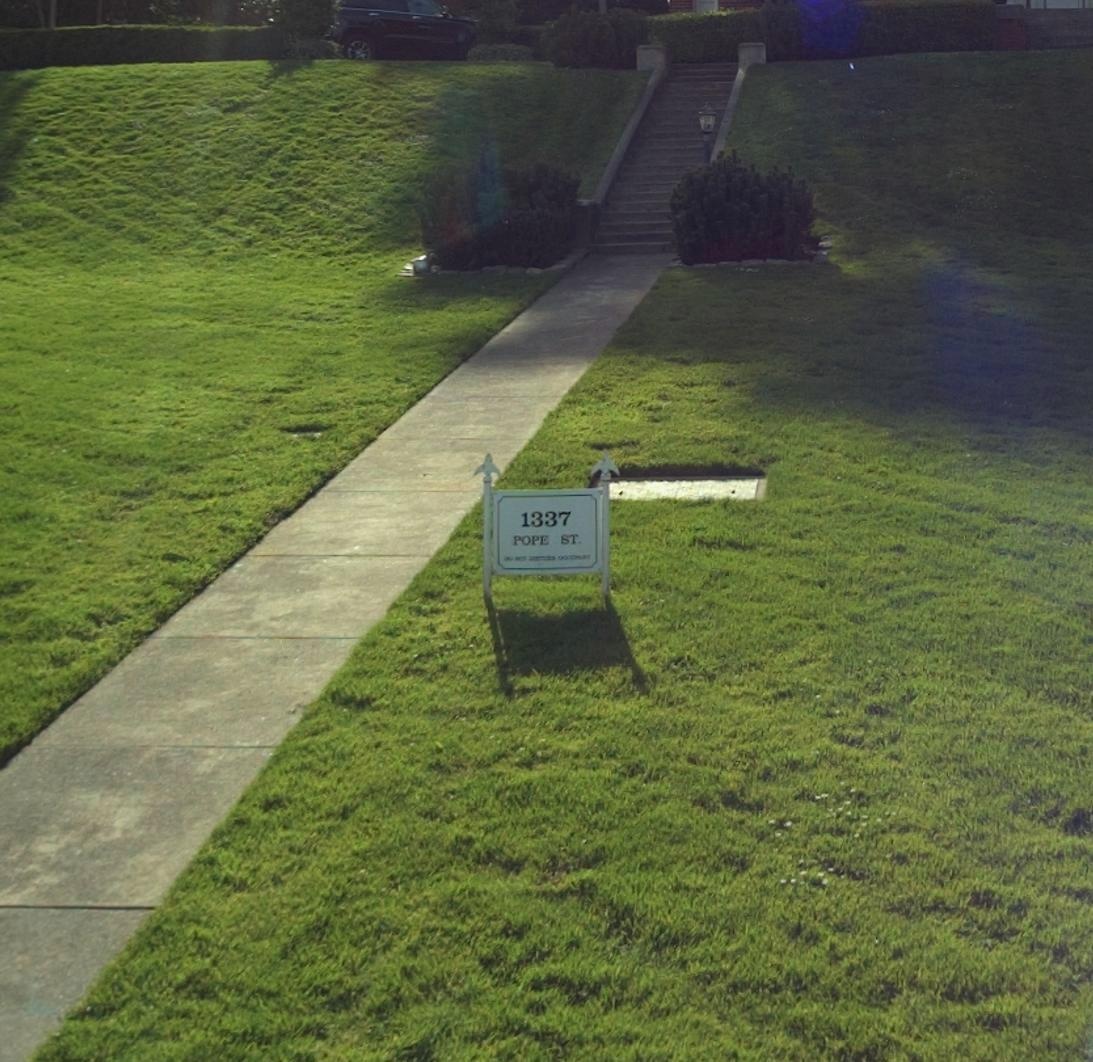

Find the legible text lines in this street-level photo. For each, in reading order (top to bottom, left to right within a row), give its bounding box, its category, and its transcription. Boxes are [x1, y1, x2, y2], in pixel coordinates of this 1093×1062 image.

[519, 510, 572, 529] StreetNumber: 1337
[512, 532, 580, 547] StreetName: POPE ST